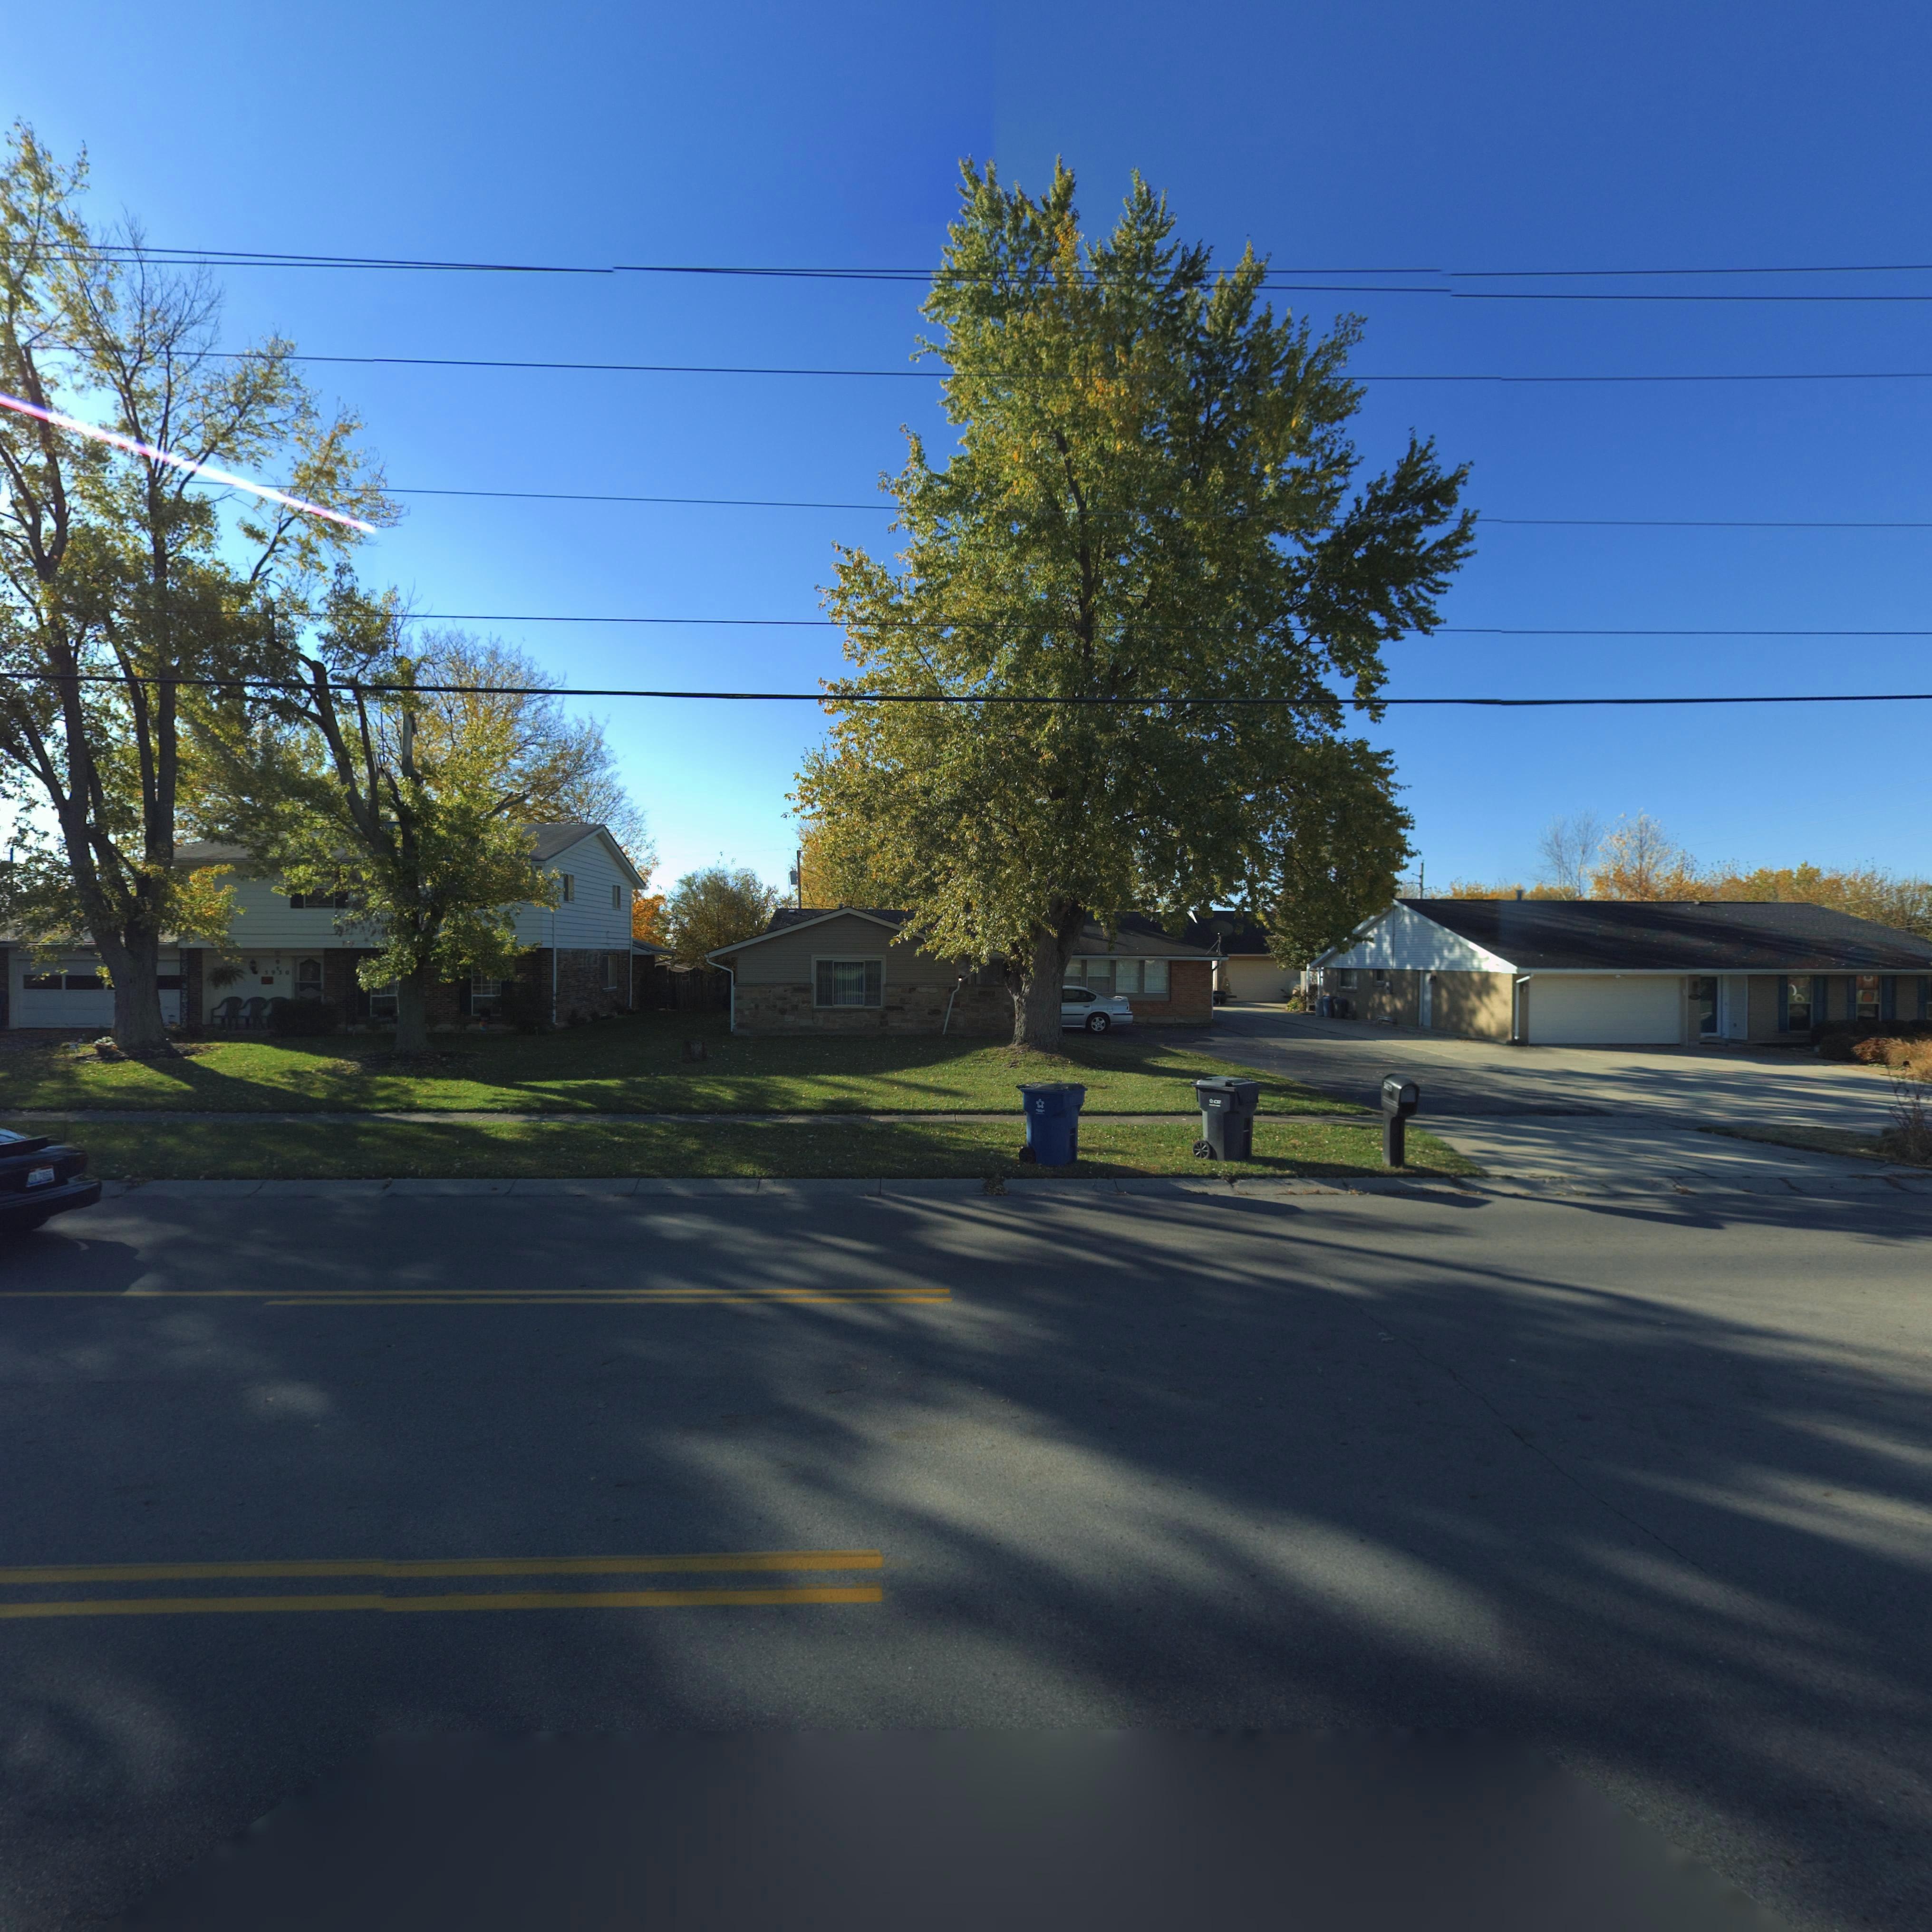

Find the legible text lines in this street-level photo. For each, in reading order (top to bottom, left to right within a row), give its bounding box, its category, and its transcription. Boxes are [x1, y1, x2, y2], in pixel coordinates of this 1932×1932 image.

[264, 969, 290, 975] StreetNumber: 5930
[1383, 1081, 1392, 1093] StreetNumber: 59**